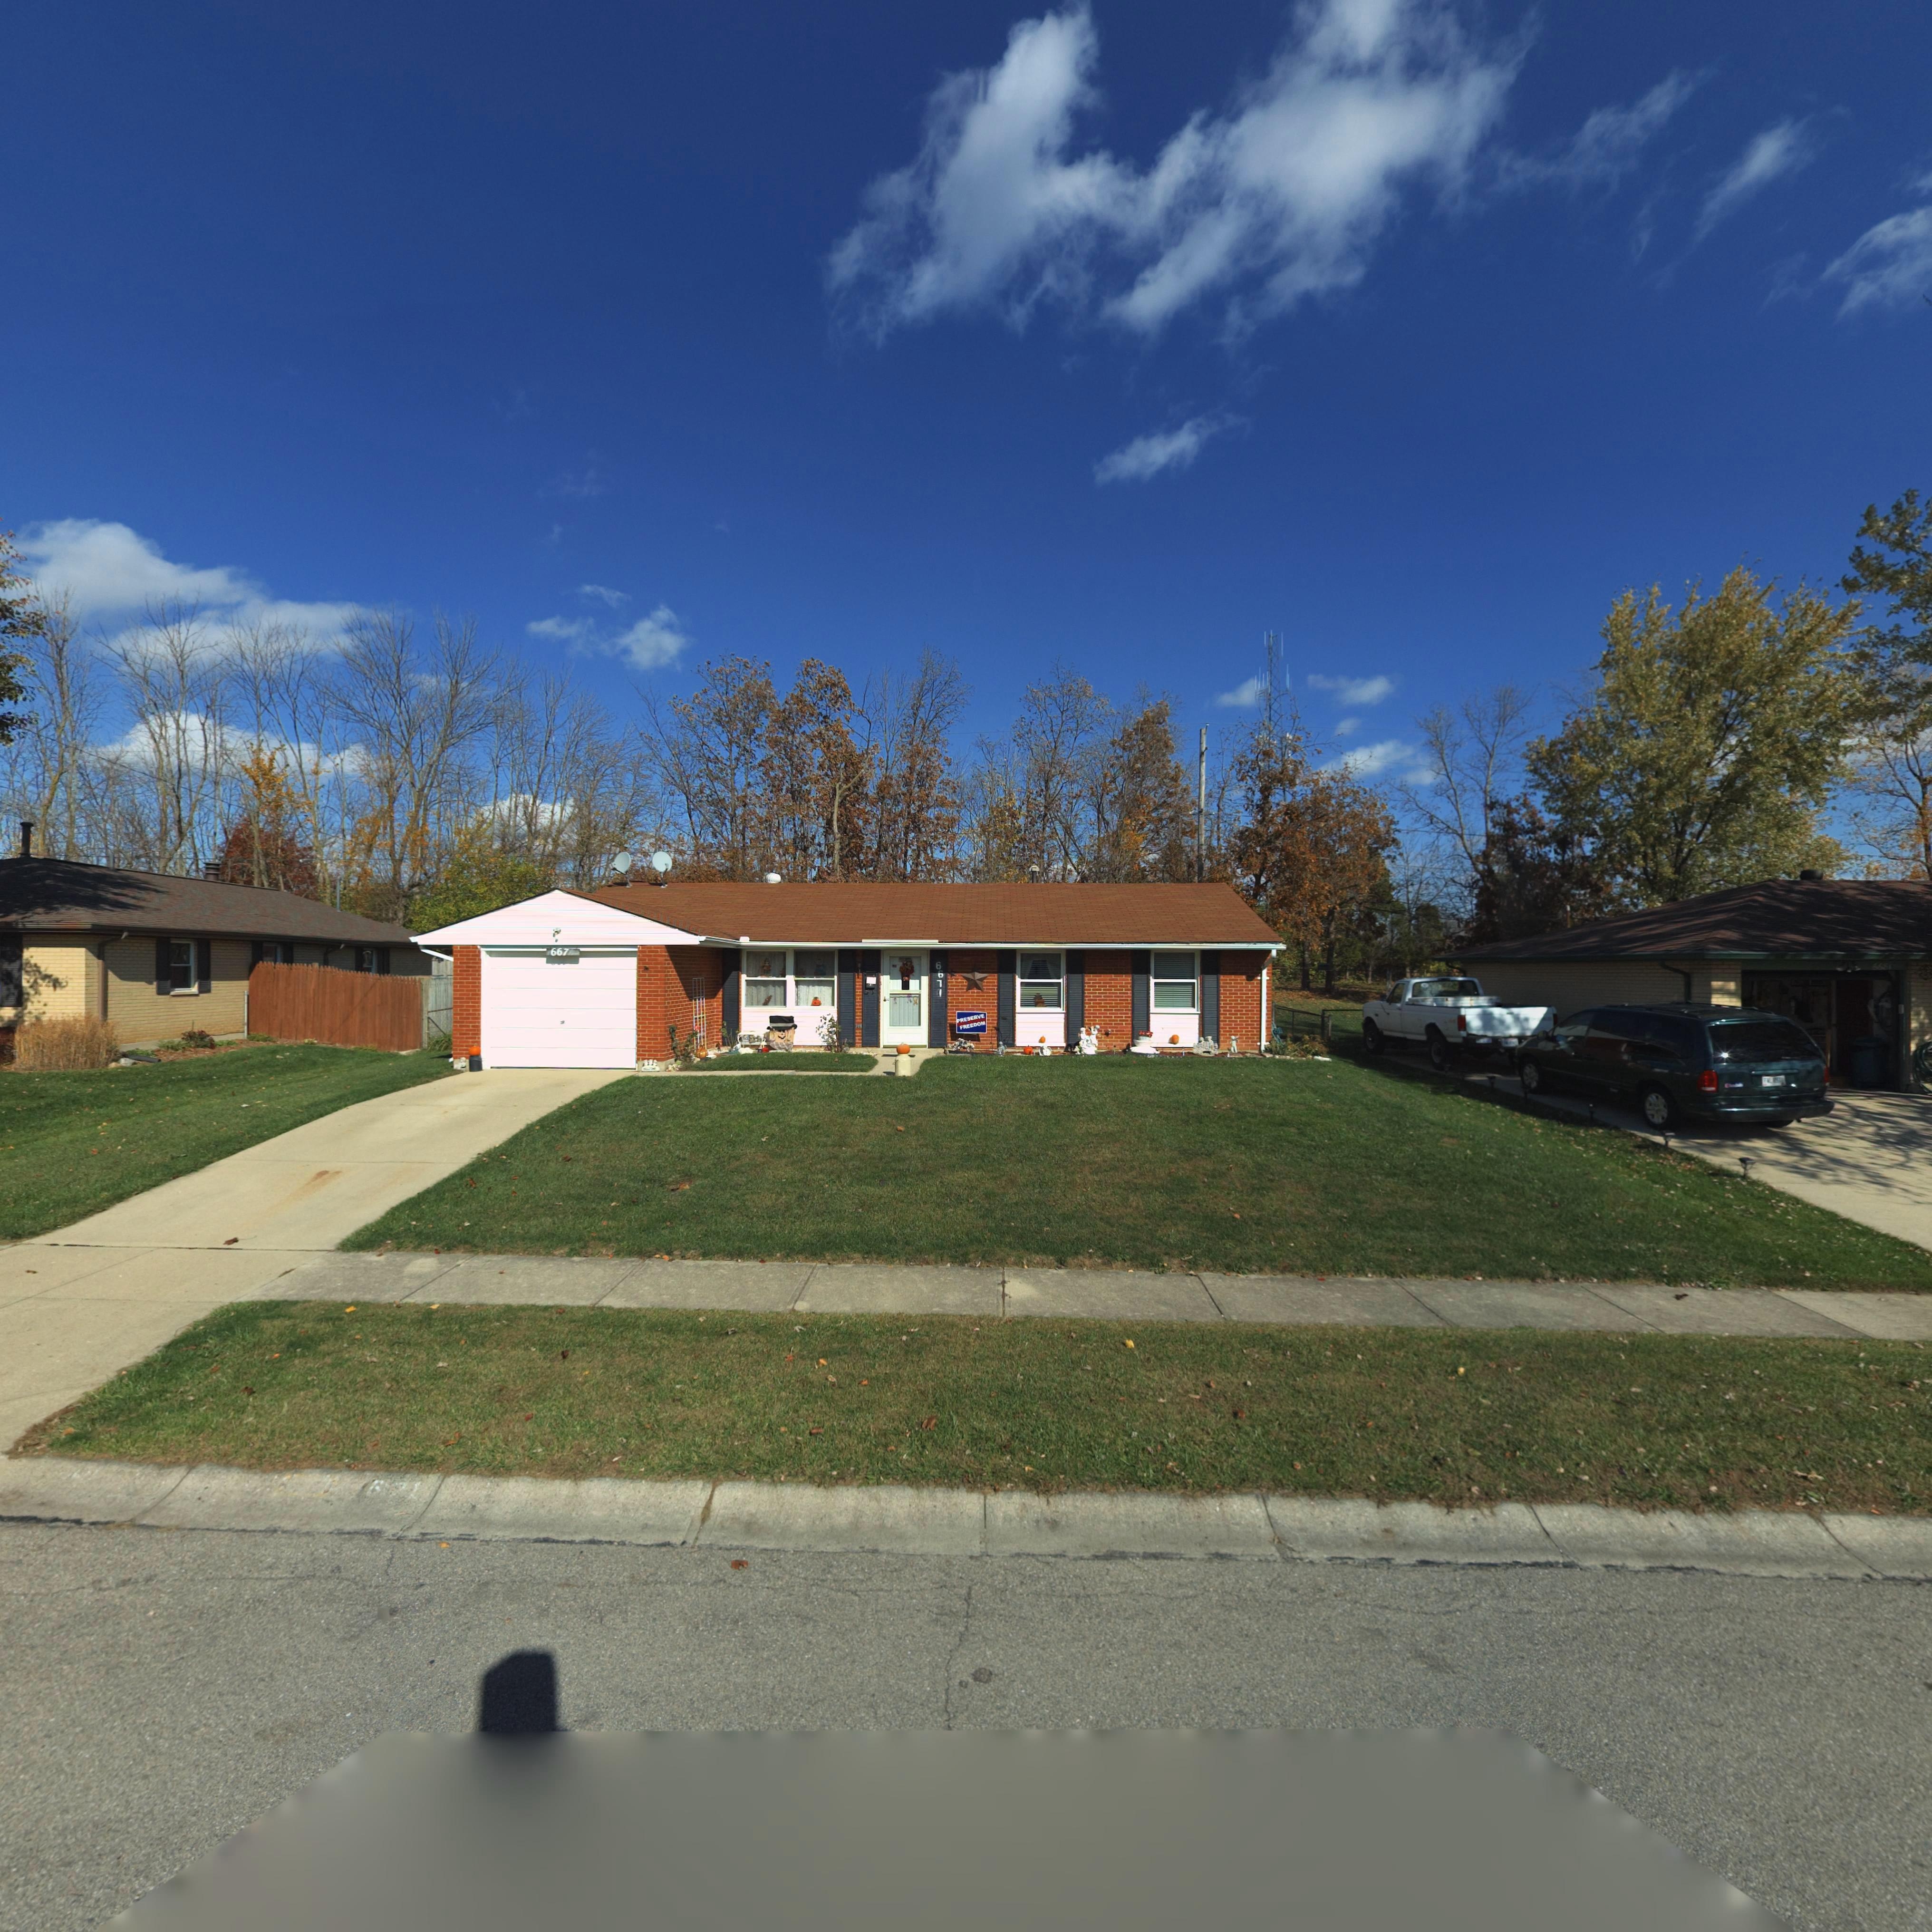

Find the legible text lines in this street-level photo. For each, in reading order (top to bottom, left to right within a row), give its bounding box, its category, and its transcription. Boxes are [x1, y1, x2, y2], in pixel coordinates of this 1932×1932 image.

[550, 947, 570, 956] StreetNumber: 667
[1871, 962, 1893, 971] StreetNumber: 6681
[935, 961, 944, 998] StreetNumber: 6671